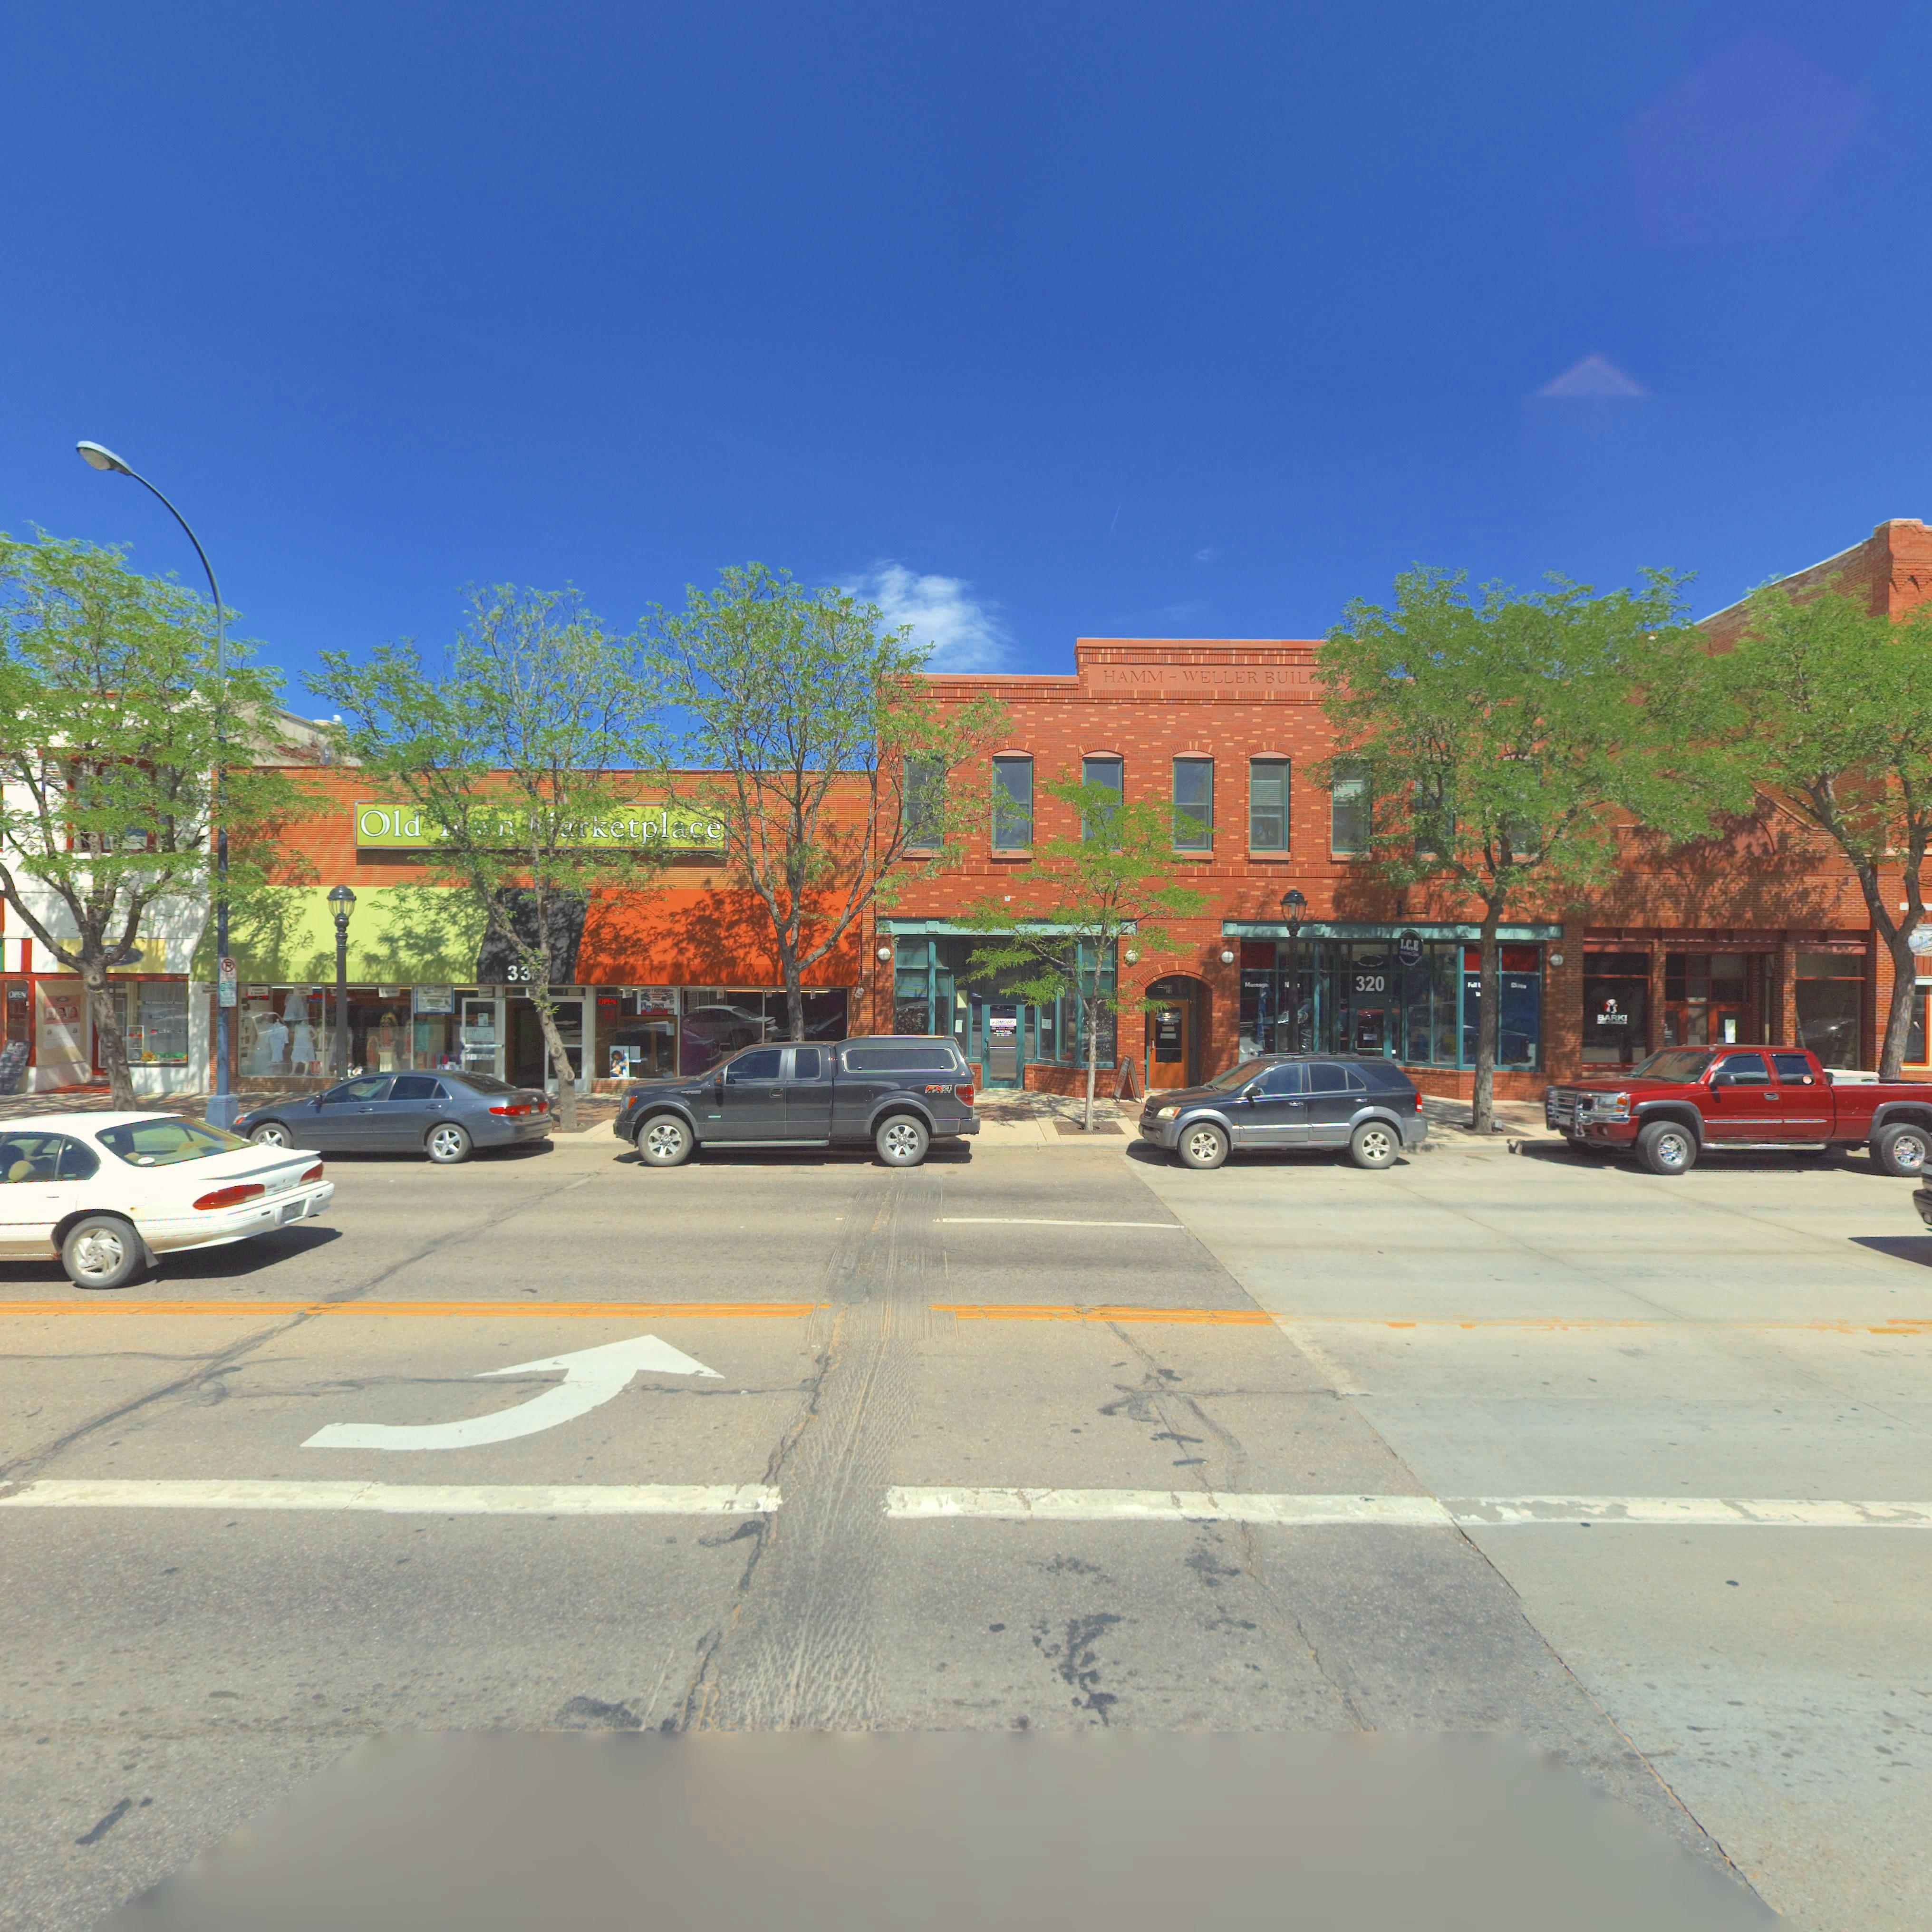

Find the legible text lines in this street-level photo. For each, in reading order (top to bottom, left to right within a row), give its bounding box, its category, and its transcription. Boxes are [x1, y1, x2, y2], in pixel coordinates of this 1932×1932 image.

[359, 808, 722, 845] BusinessName: Old ***n *arketplace
[1400, 938, 1419, 951] BusinessName: I.C.E
[506, 964, 532, 982] StreetNumber: 33
[1355, 975, 1384, 992] StreetNumber: 320
[1596, 1014, 1627, 1021] BusinessName: BARK!